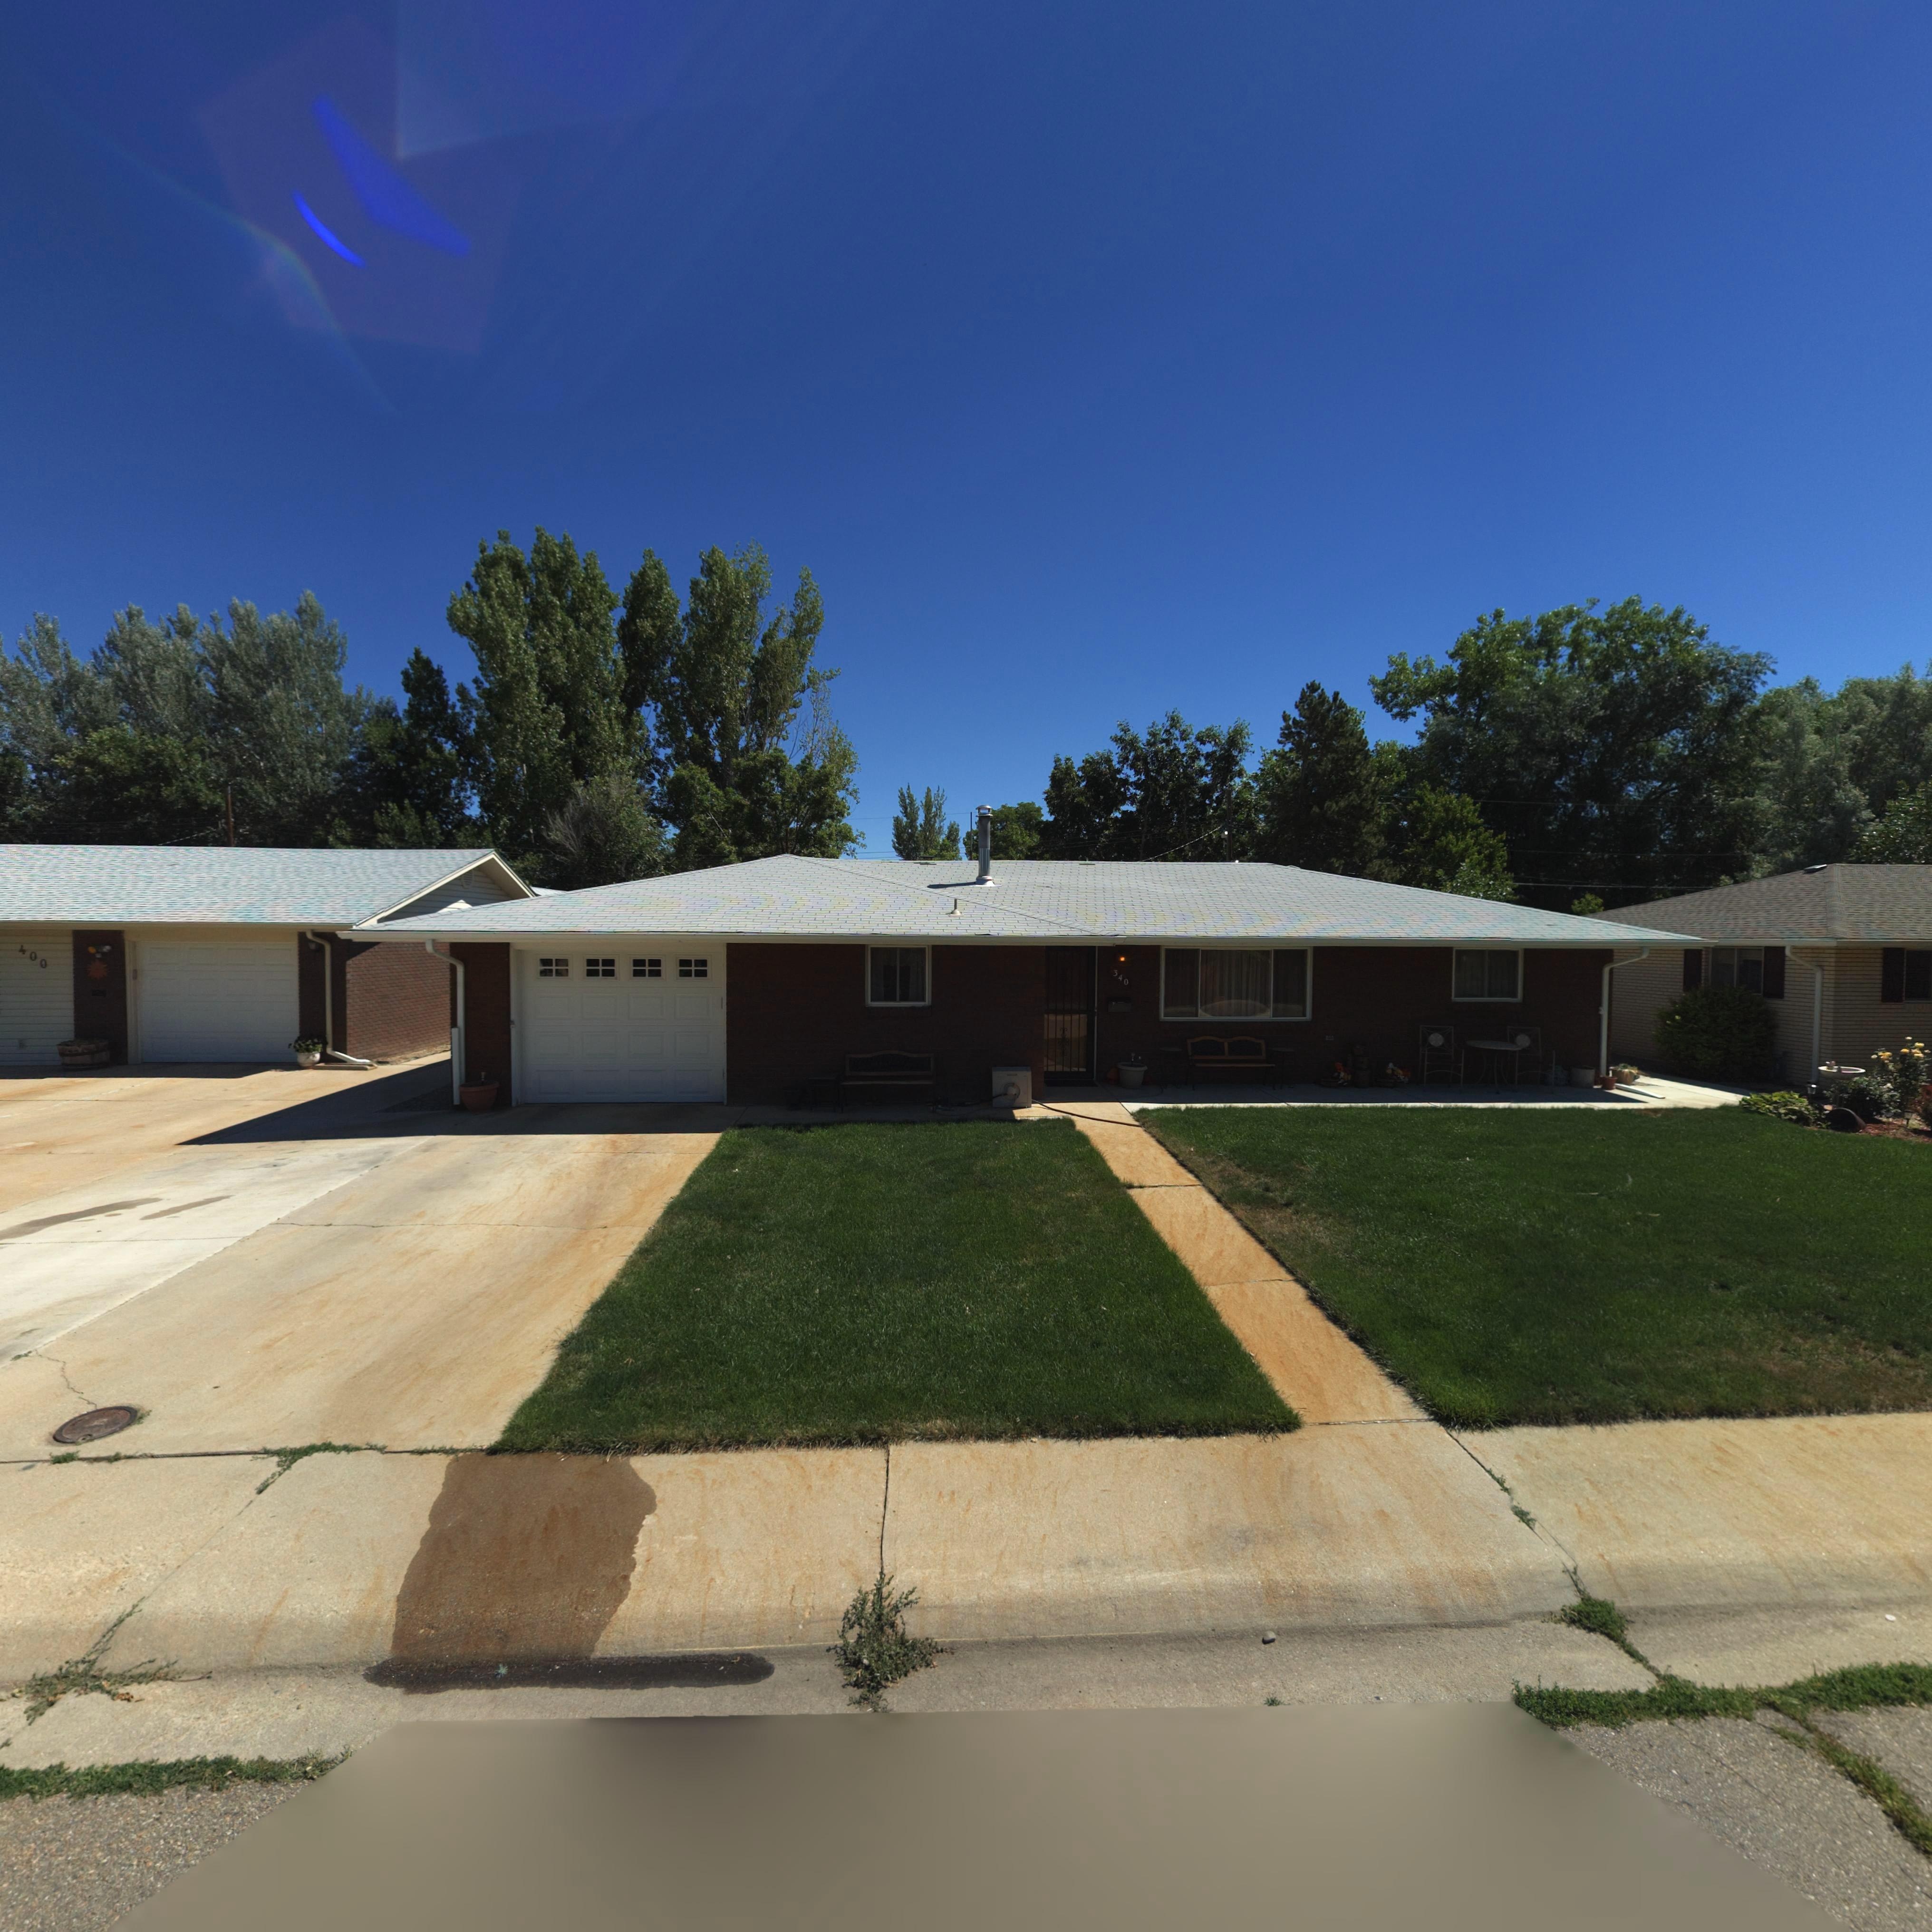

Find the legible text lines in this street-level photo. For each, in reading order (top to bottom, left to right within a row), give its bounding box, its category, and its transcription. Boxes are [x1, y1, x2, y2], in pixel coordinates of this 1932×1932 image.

[18, 944, 48, 969] StreetNumber: 400
[1112, 969, 1129, 985] StreetNumber: 340